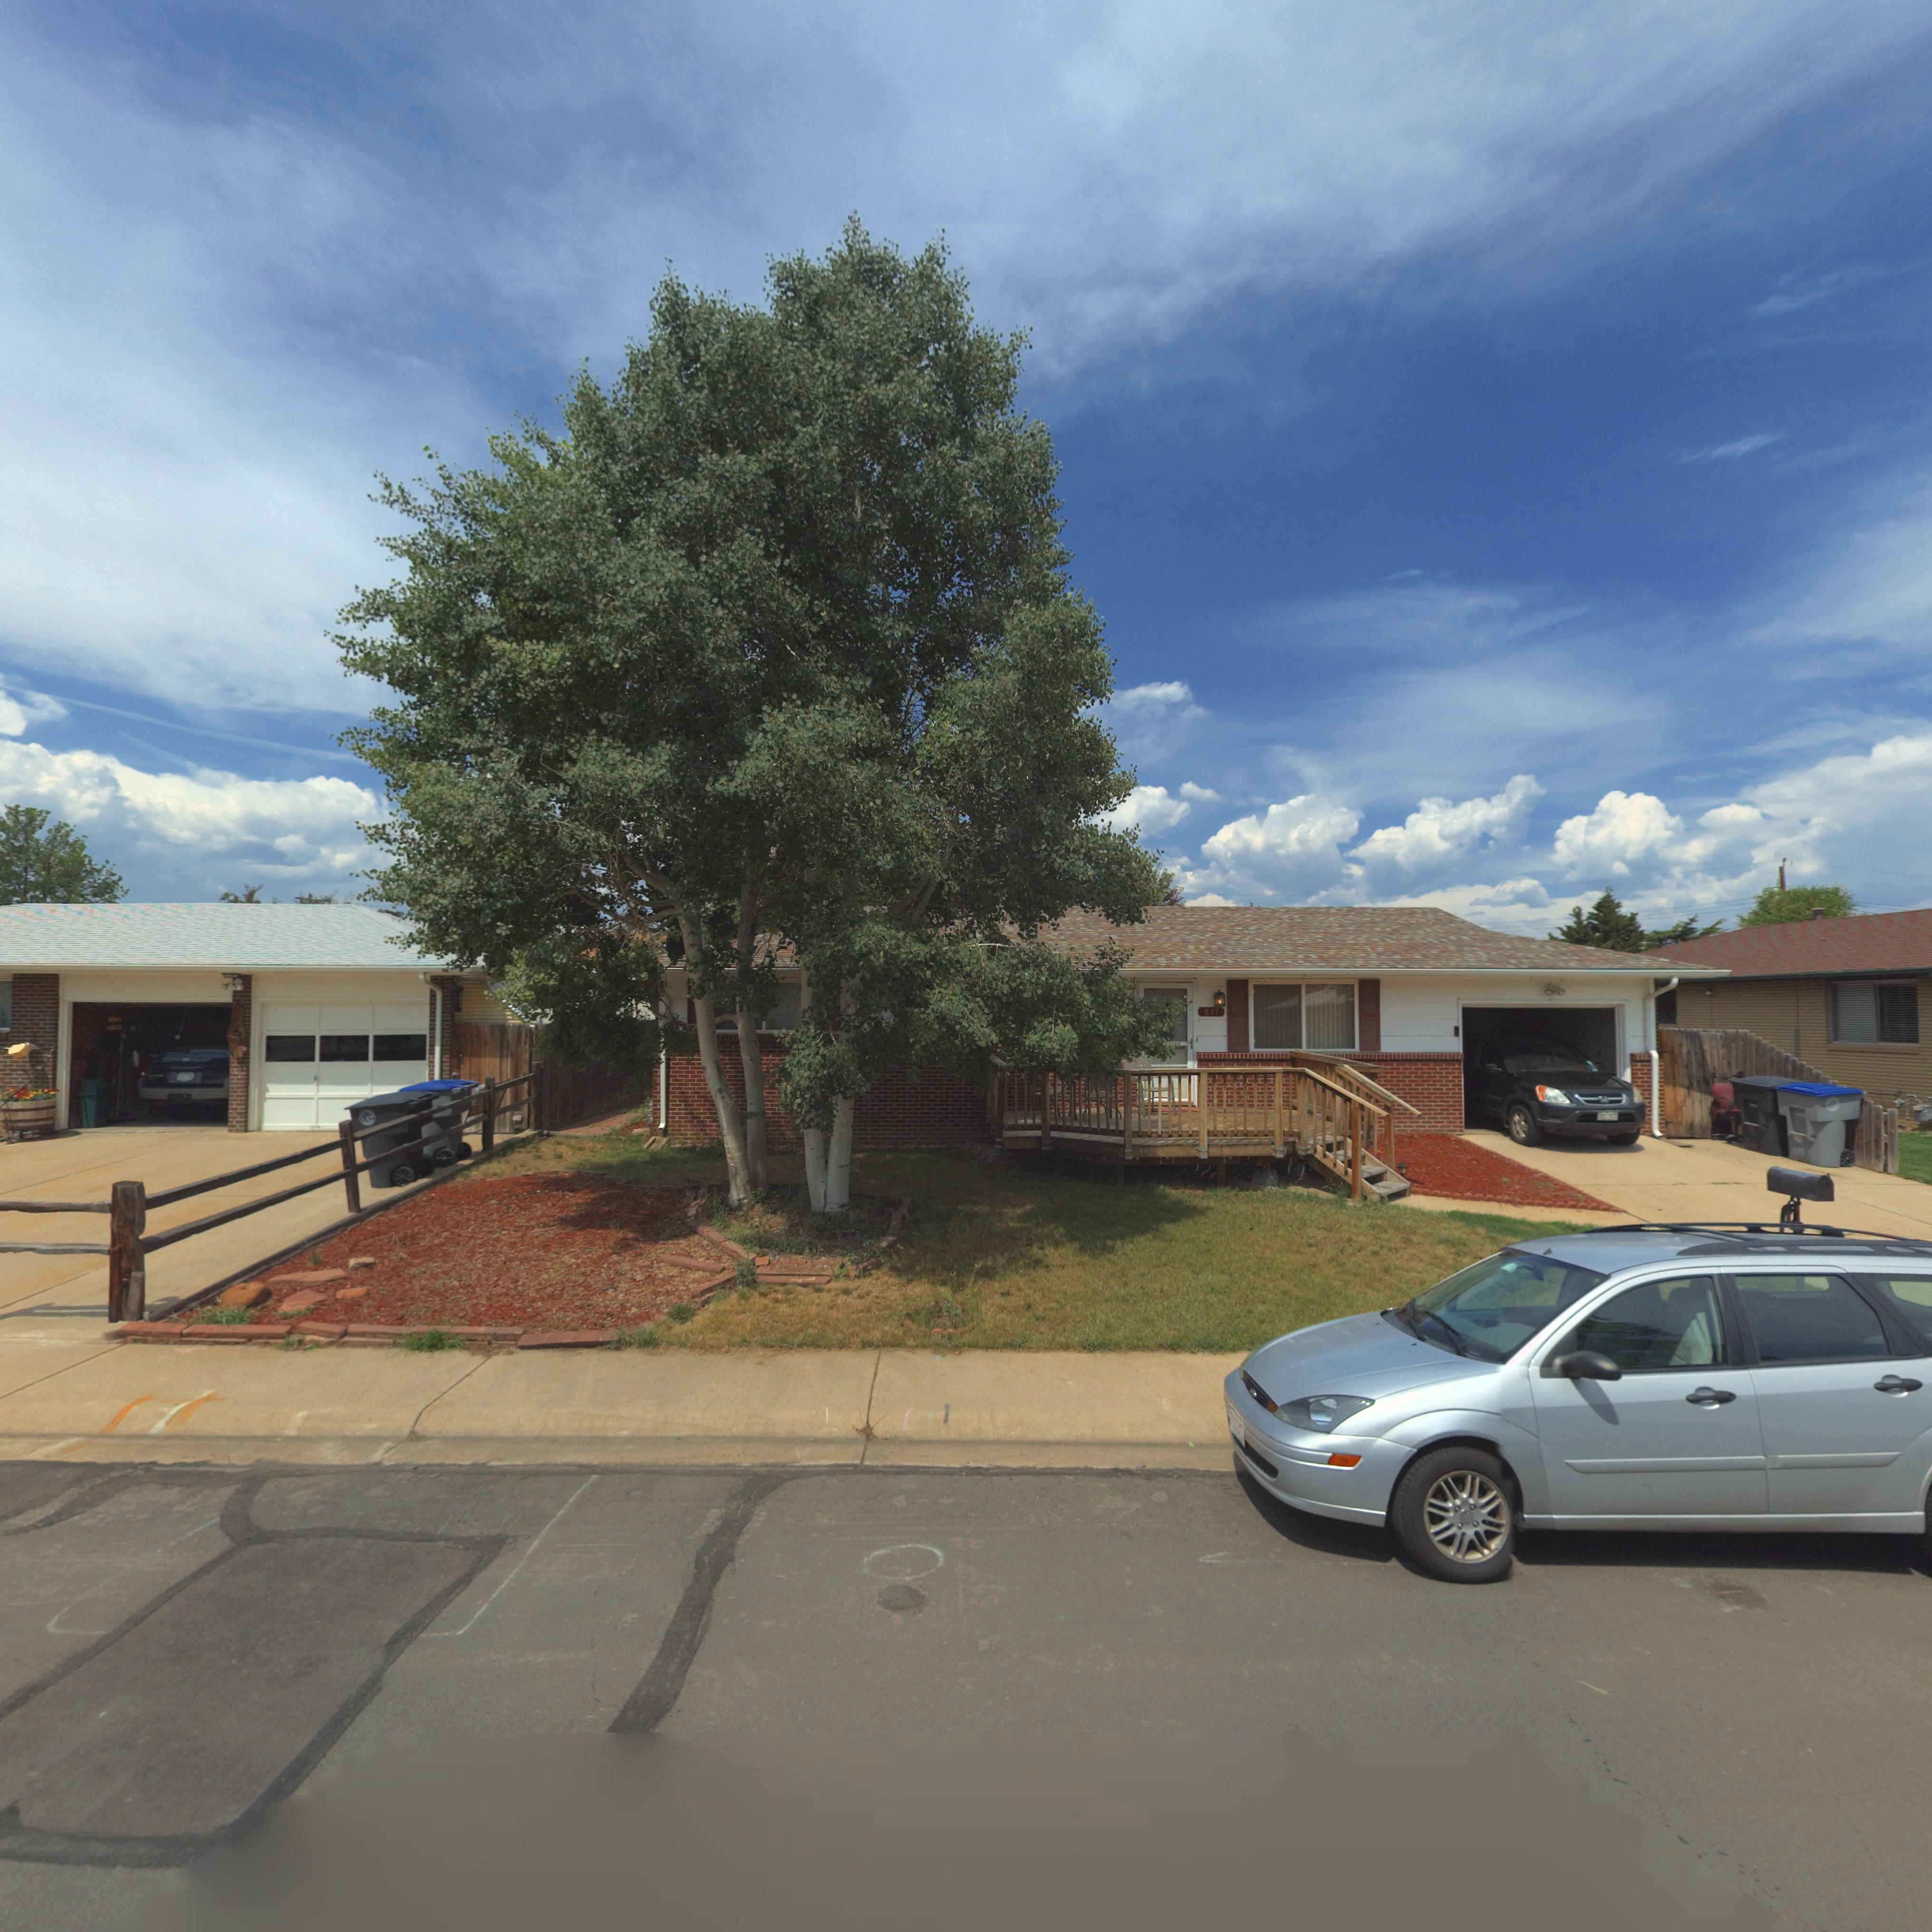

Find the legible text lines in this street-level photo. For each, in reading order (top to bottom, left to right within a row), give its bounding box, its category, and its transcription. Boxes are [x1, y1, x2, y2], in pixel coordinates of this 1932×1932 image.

[1205, 1008, 1219, 1015] StreetNumber: 837